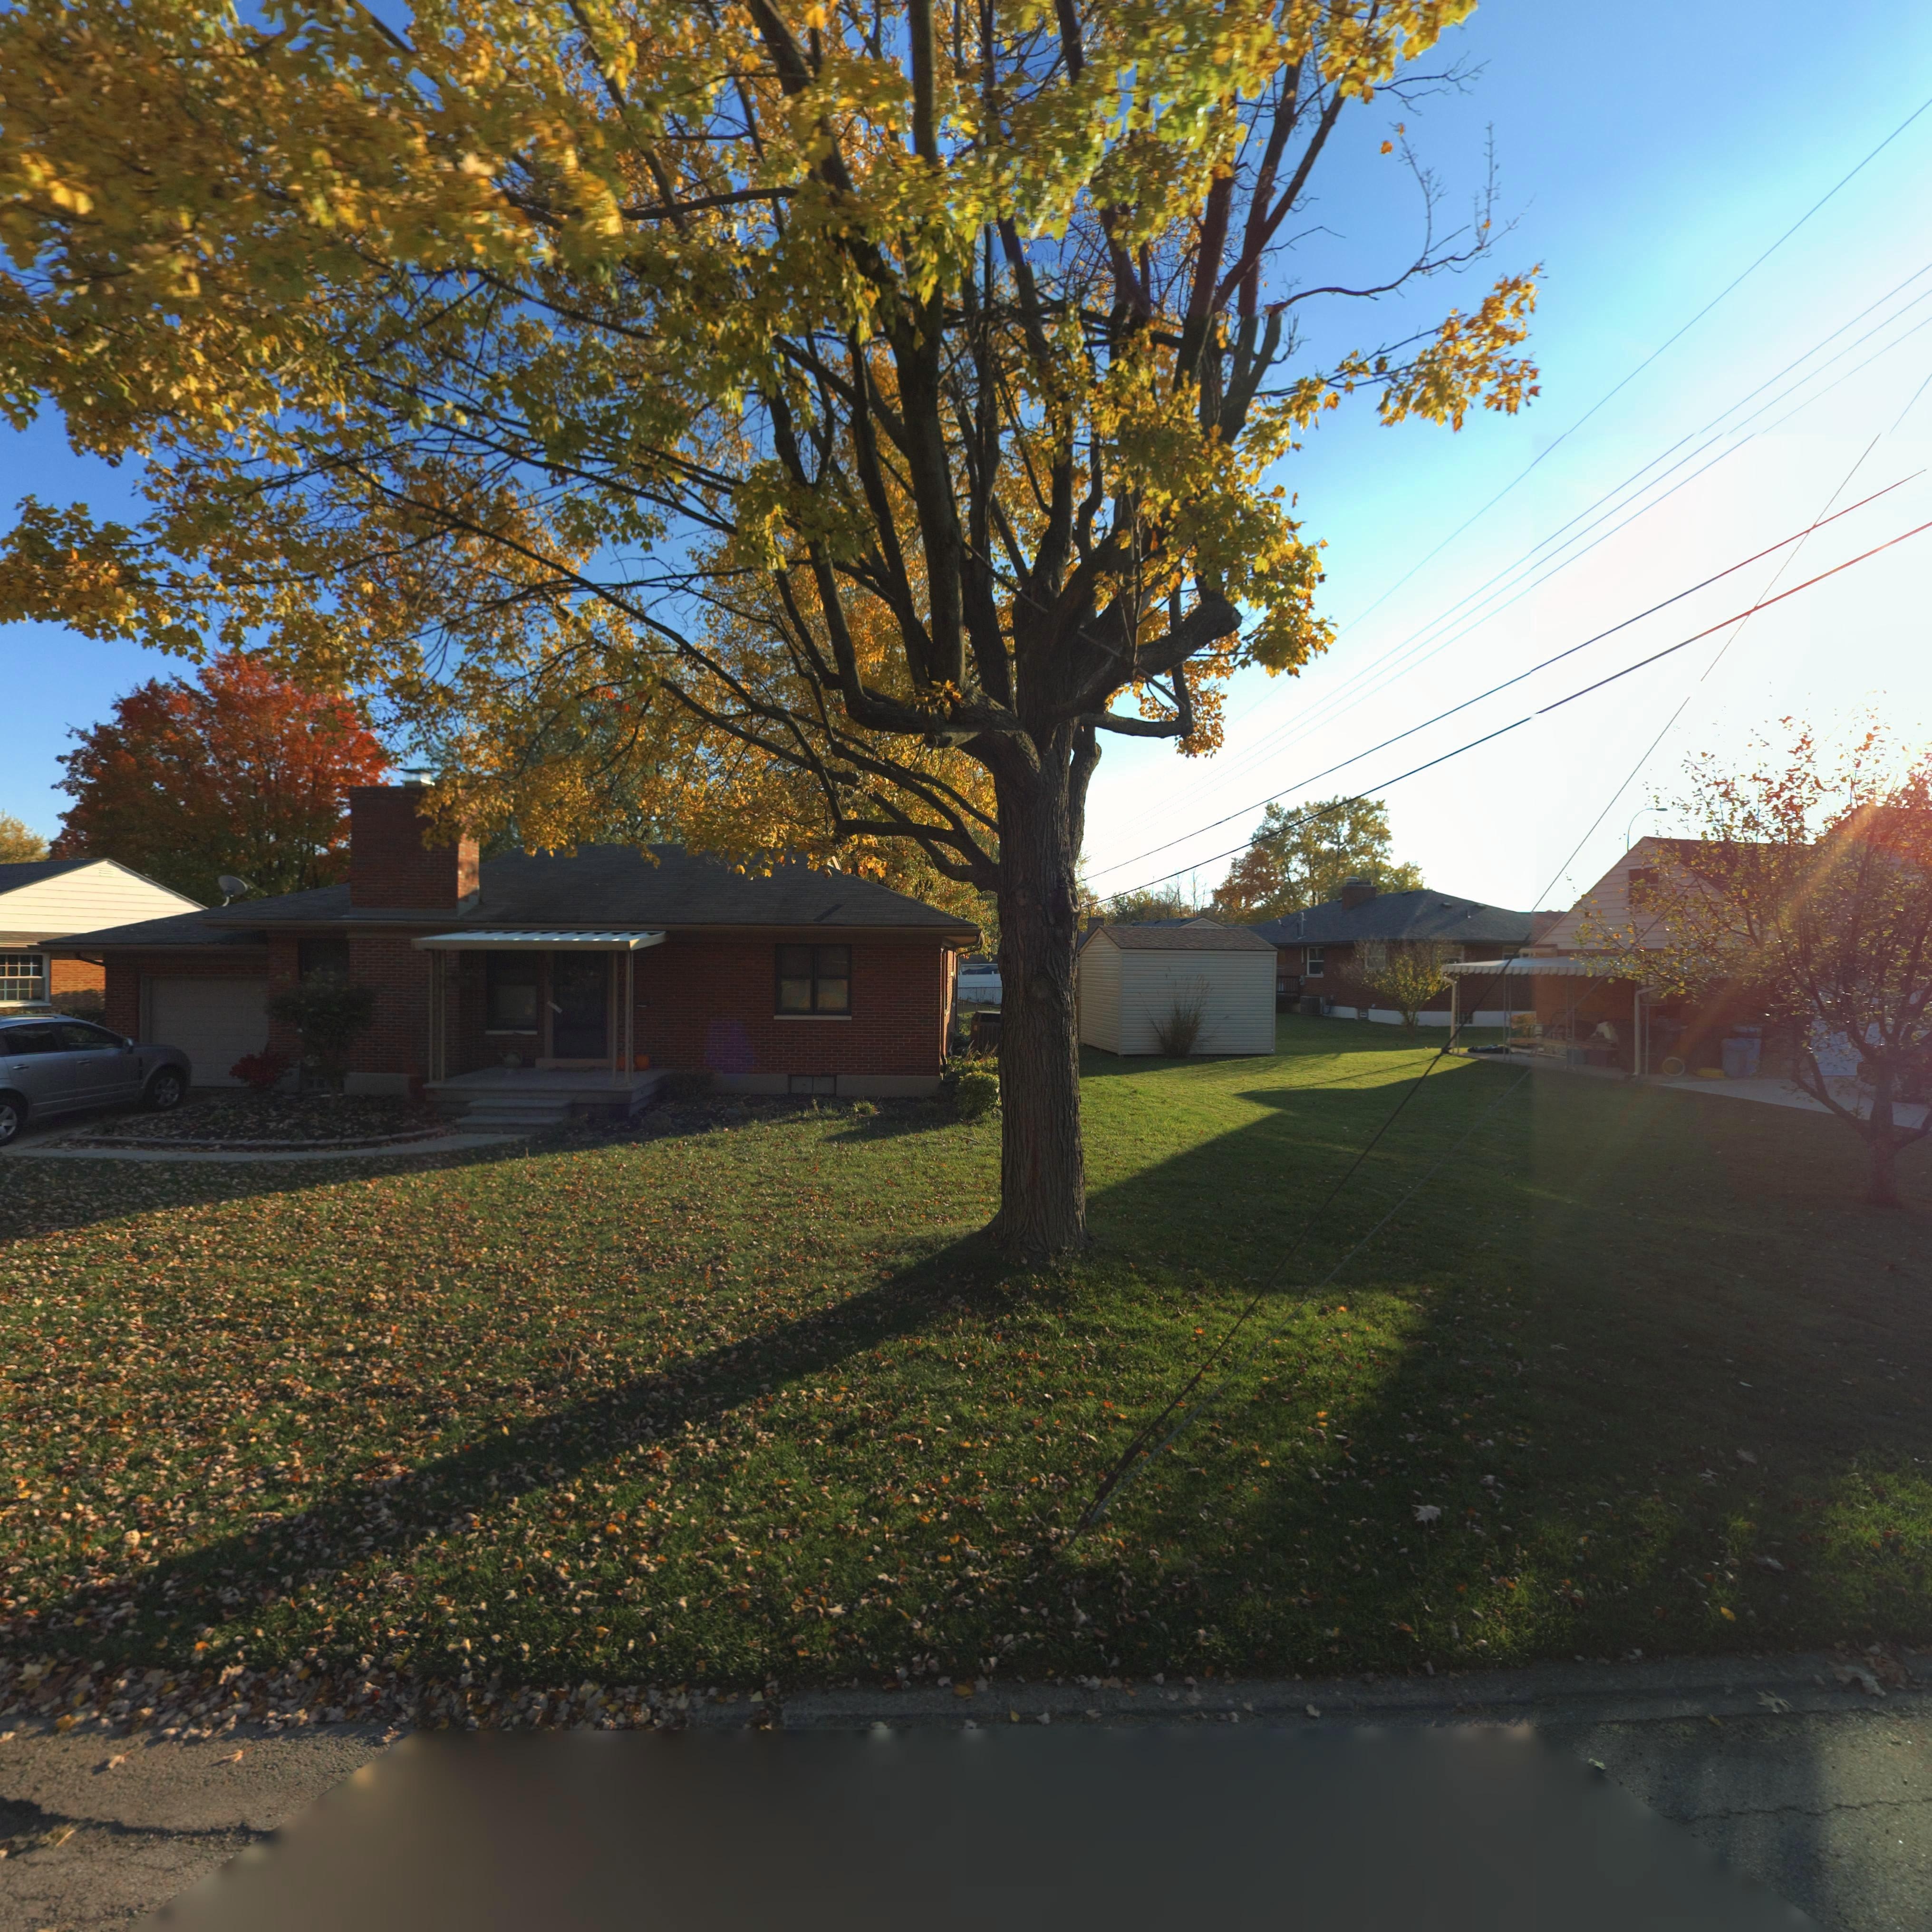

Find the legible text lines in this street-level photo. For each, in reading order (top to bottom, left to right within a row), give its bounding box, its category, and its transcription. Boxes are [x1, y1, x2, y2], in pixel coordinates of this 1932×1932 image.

[544, 961, 555, 986] StreetNumber: 50*